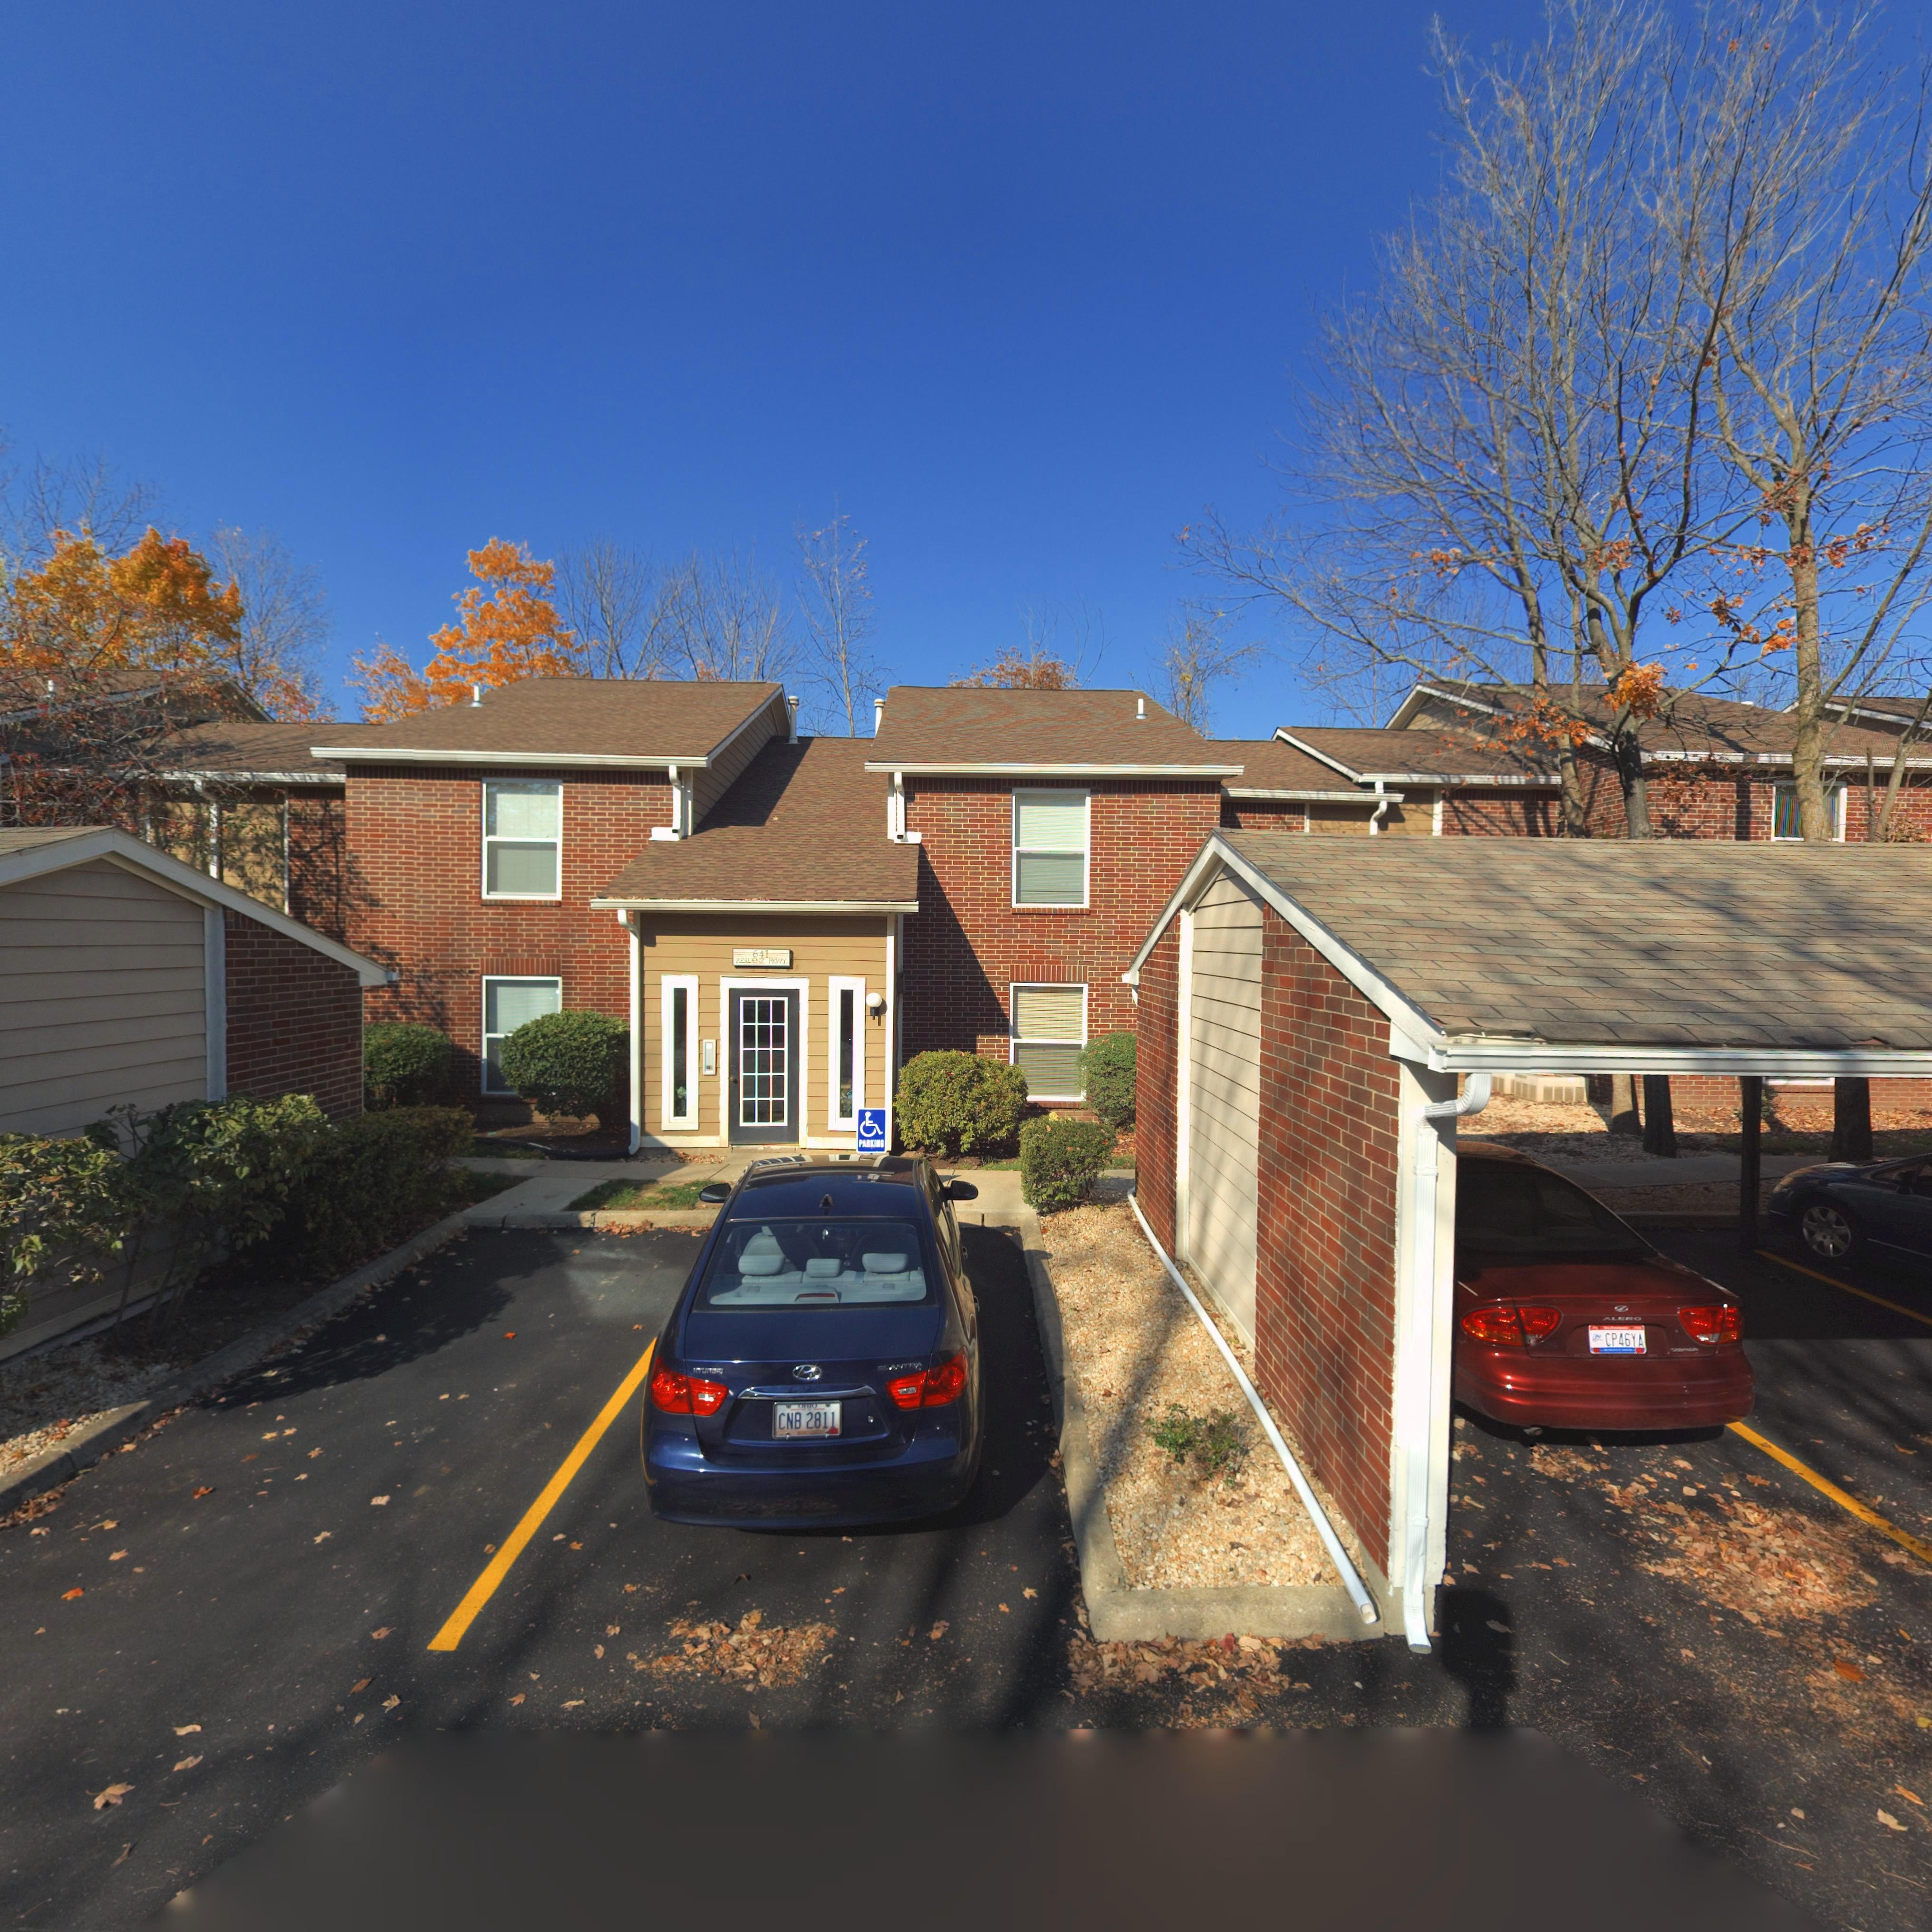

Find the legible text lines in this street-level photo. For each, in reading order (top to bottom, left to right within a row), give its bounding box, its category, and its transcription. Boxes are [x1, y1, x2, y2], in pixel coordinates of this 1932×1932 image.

[752, 948, 769, 958] StreetNumber: 641
[735, 957, 787, 965] StreetName: RES*DENZ PKWY